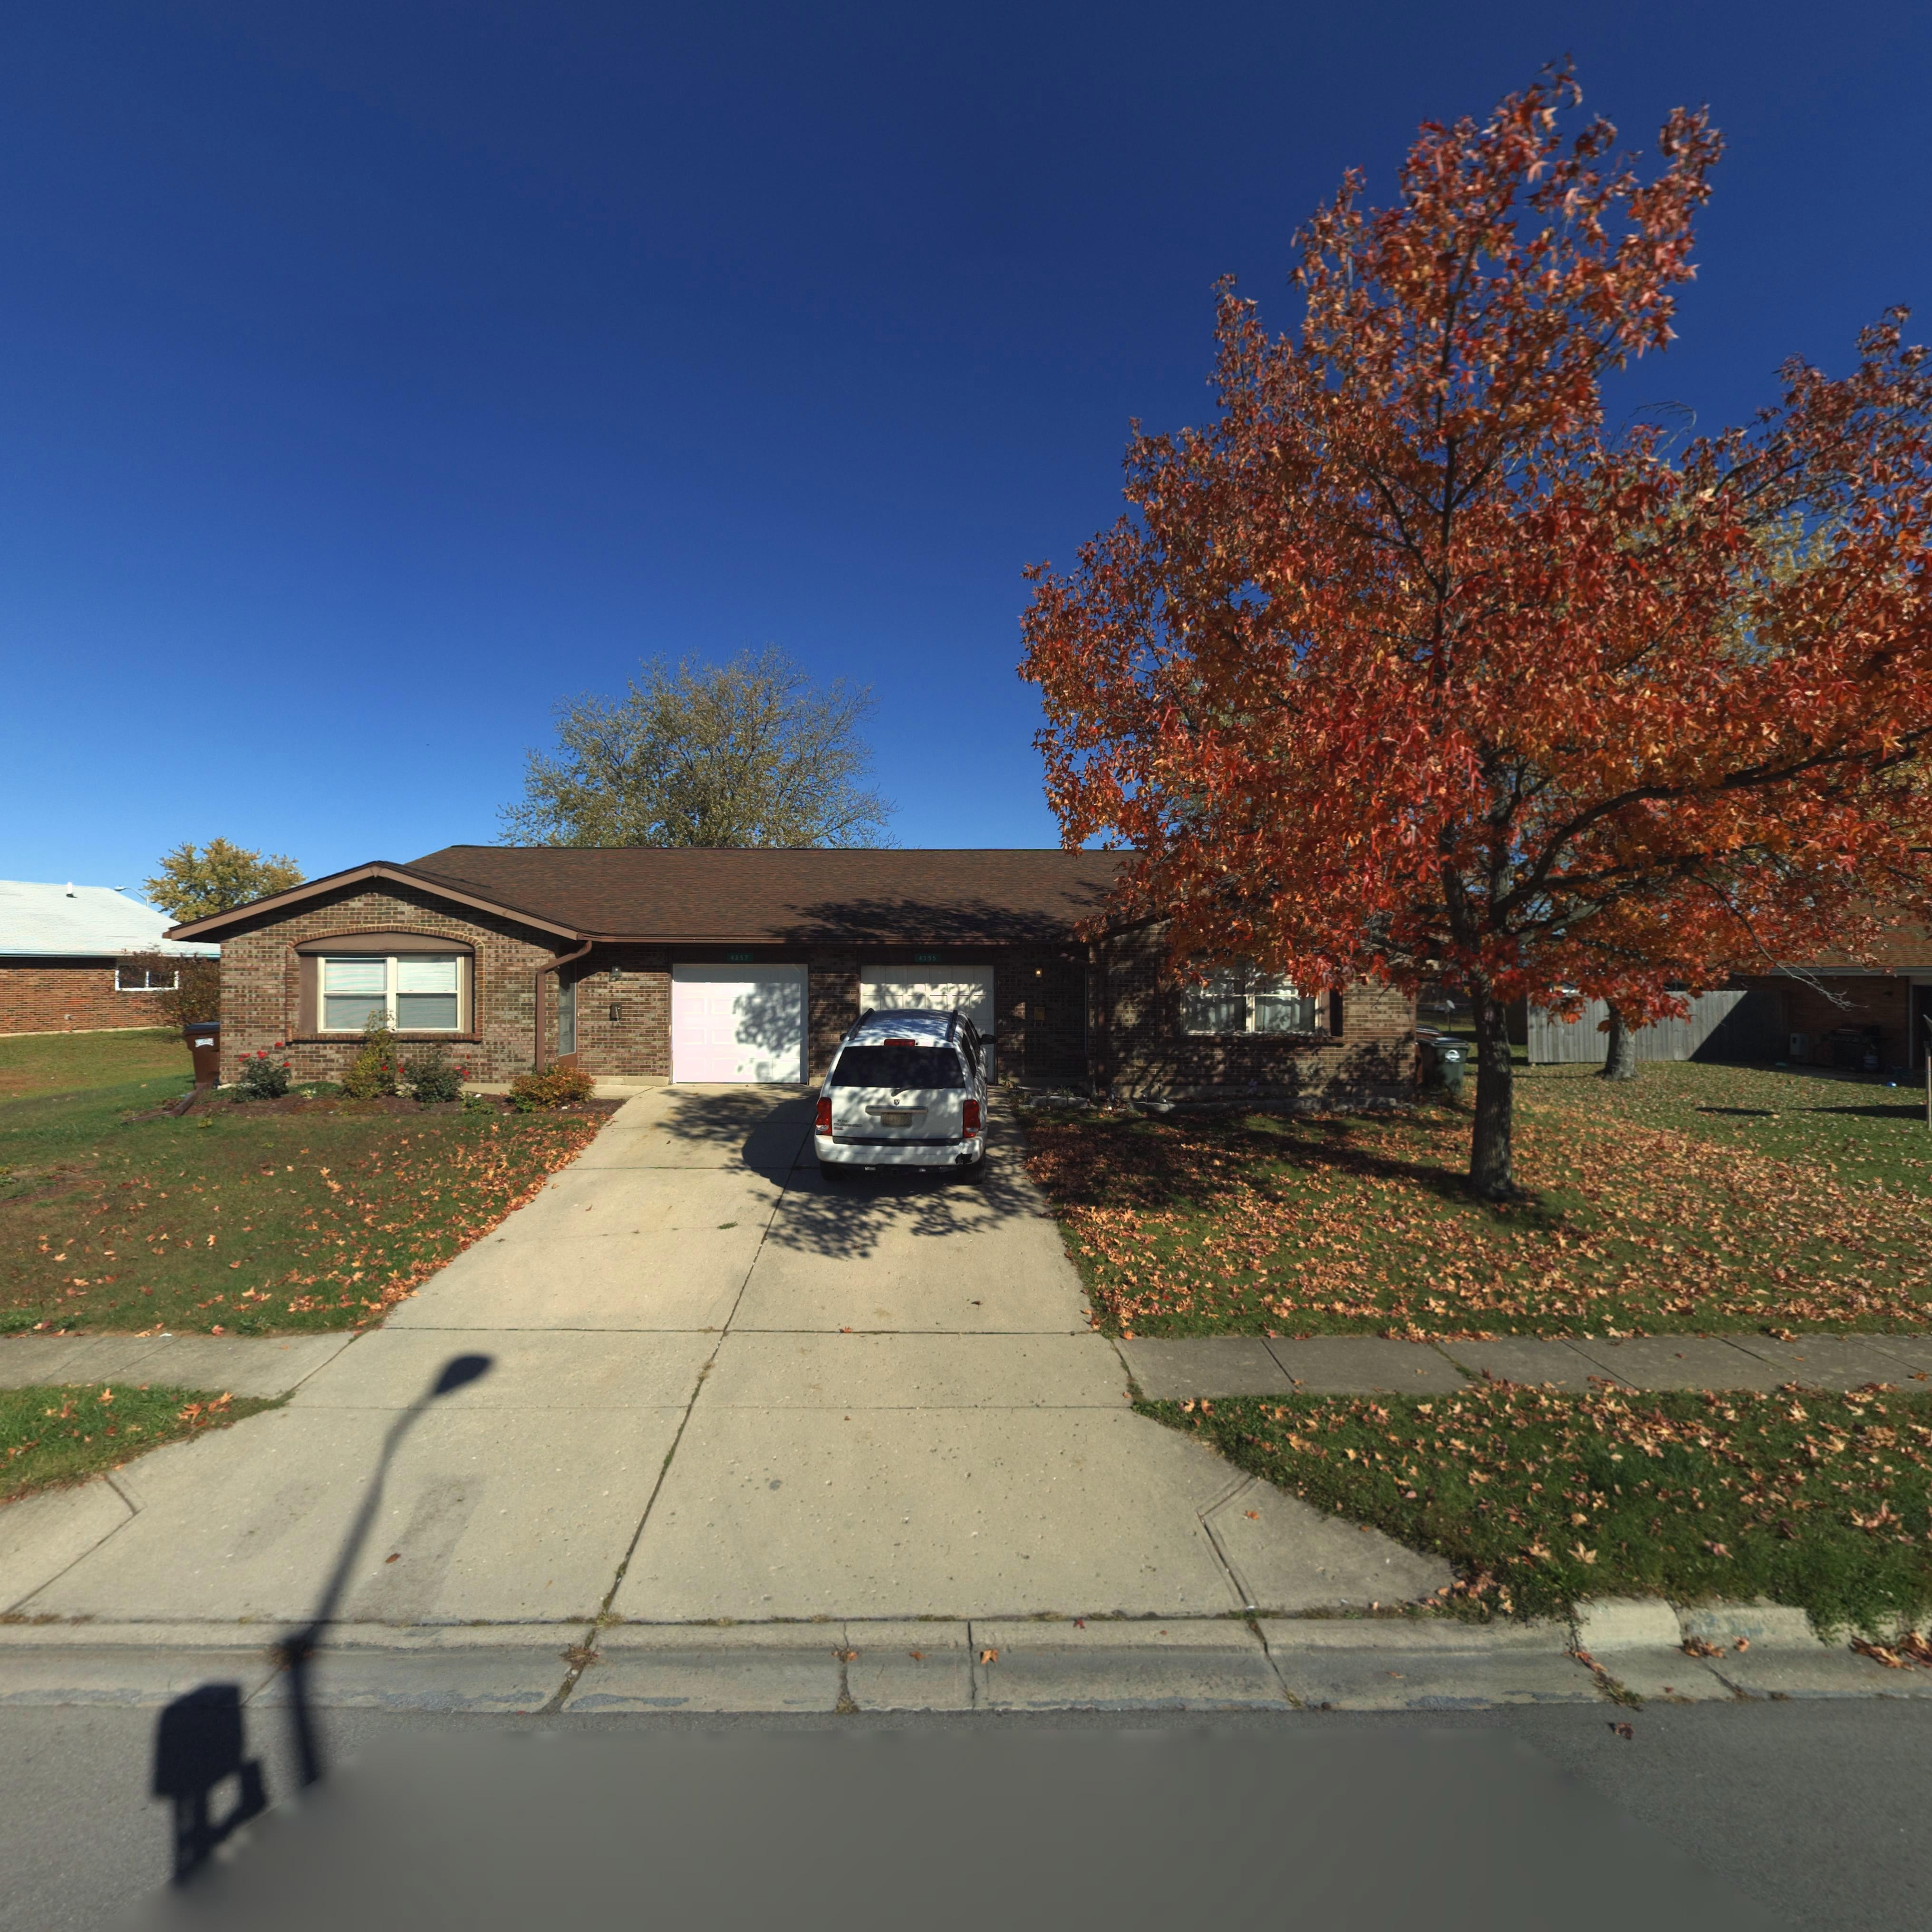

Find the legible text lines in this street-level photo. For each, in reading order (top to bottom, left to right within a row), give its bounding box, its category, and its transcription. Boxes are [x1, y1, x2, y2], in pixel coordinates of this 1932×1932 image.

[730, 955, 748, 961] StreetNumber: 4357
[918, 955, 937, 961] StreetNumber: 4355